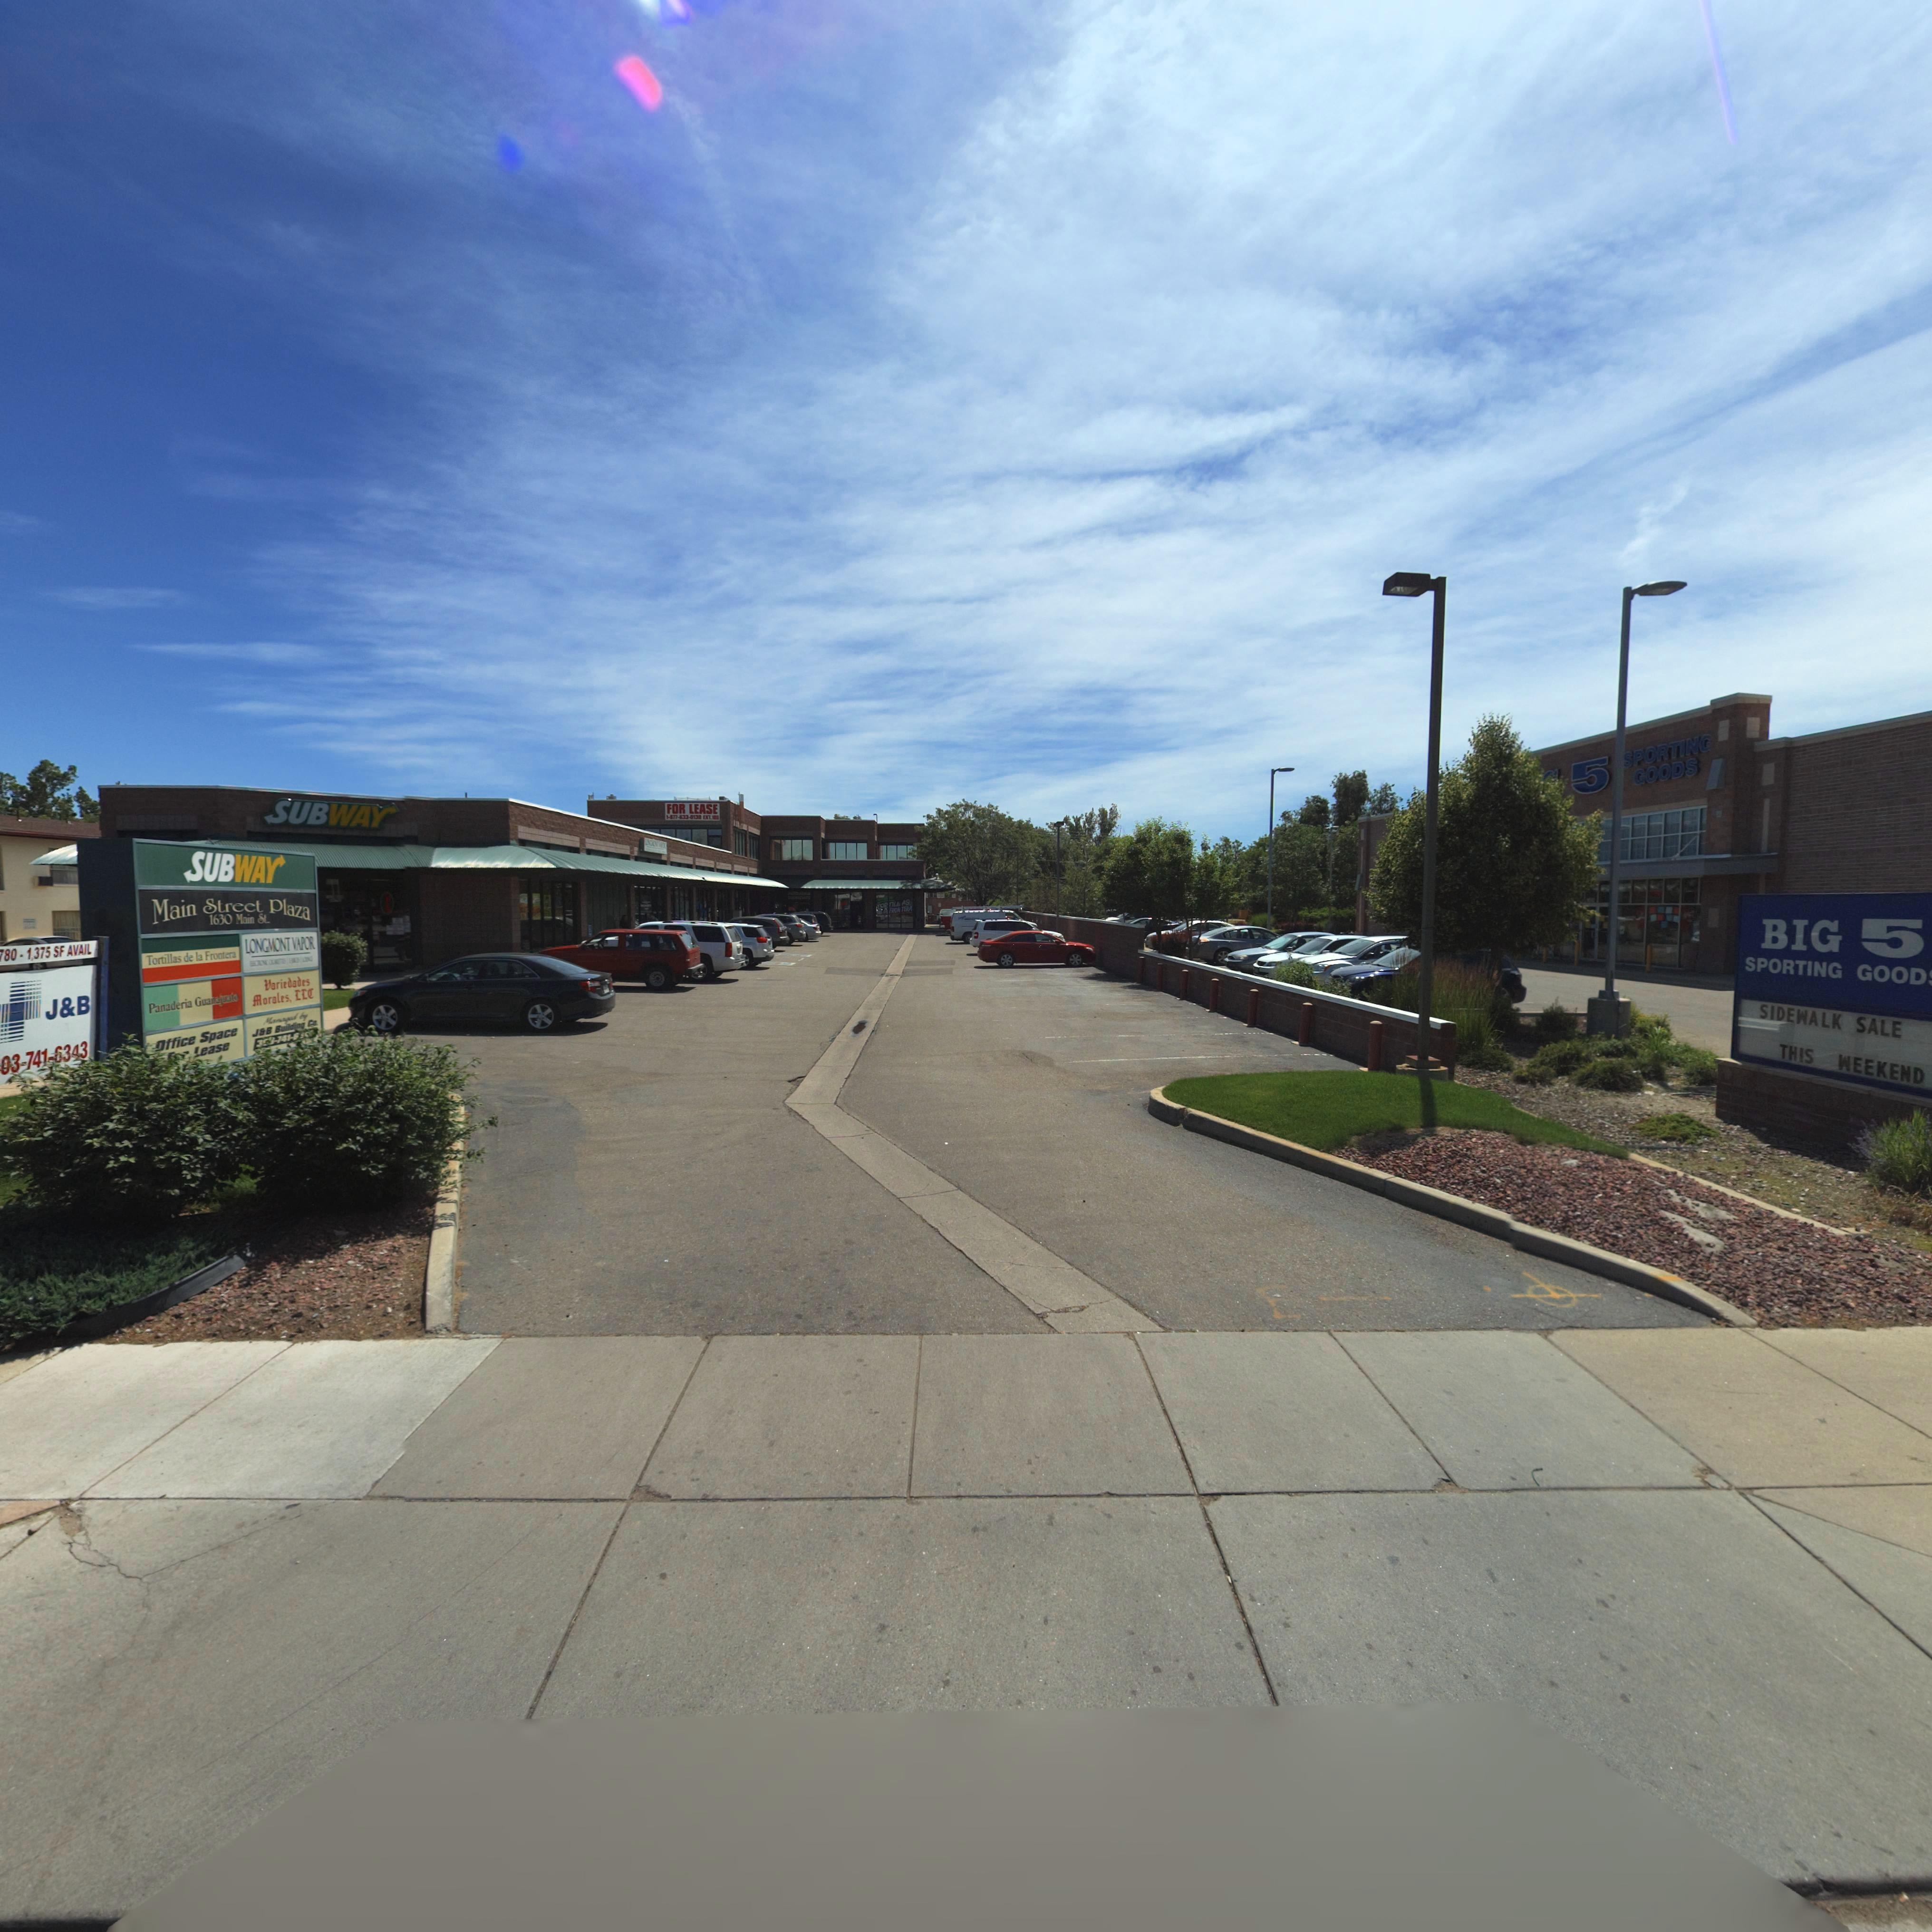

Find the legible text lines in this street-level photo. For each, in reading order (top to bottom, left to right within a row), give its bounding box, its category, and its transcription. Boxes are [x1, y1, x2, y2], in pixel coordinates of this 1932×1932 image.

[1622, 733, 1714, 769] BusinessName: SPORTING
[1569, 754, 1610, 795] BusinessName: 5
[1631, 756, 1700, 786] BusinessName: GOODS
[263, 798, 400, 828] BusinessName: SUBWAY
[183, 850, 287, 884] BusinessName: SUBWAY
[208, 913, 232, 925] StreetNumber: 1630
[235, 913, 271, 925] StreetName: Main St.
[145, 950, 237, 966] BusinessName: Tortillas de la Frontera
[149, 992, 239, 1014] BusinessName: Panaderia Guanajuat*
[244, 936, 316, 954] BusinessName: LONGMONT VAPOR
[251, 987, 315, 1007] BusinessName: Morales, LLC
[263, 976, 310, 991] BusinessName: Variedades
[1743, 956, 1928, 986] BusinessName: SPORTING GOOD
[1759, 917, 1925, 960] BusinessName: BIG 5